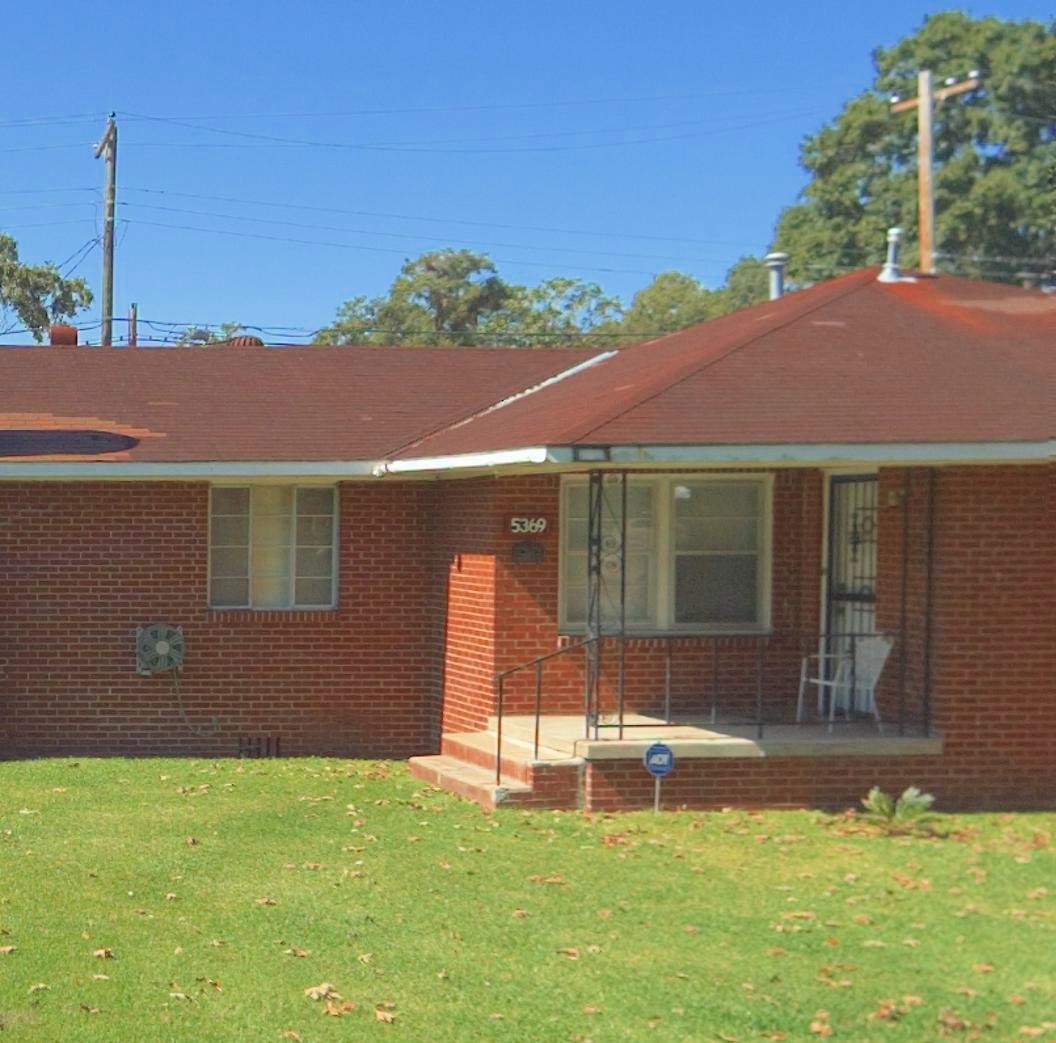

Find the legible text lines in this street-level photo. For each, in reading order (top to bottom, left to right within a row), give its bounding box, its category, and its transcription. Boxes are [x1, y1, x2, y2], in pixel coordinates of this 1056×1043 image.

[510, 517, 547, 534] StreetNumber: 5369
[647, 752, 671, 765] None: ADT